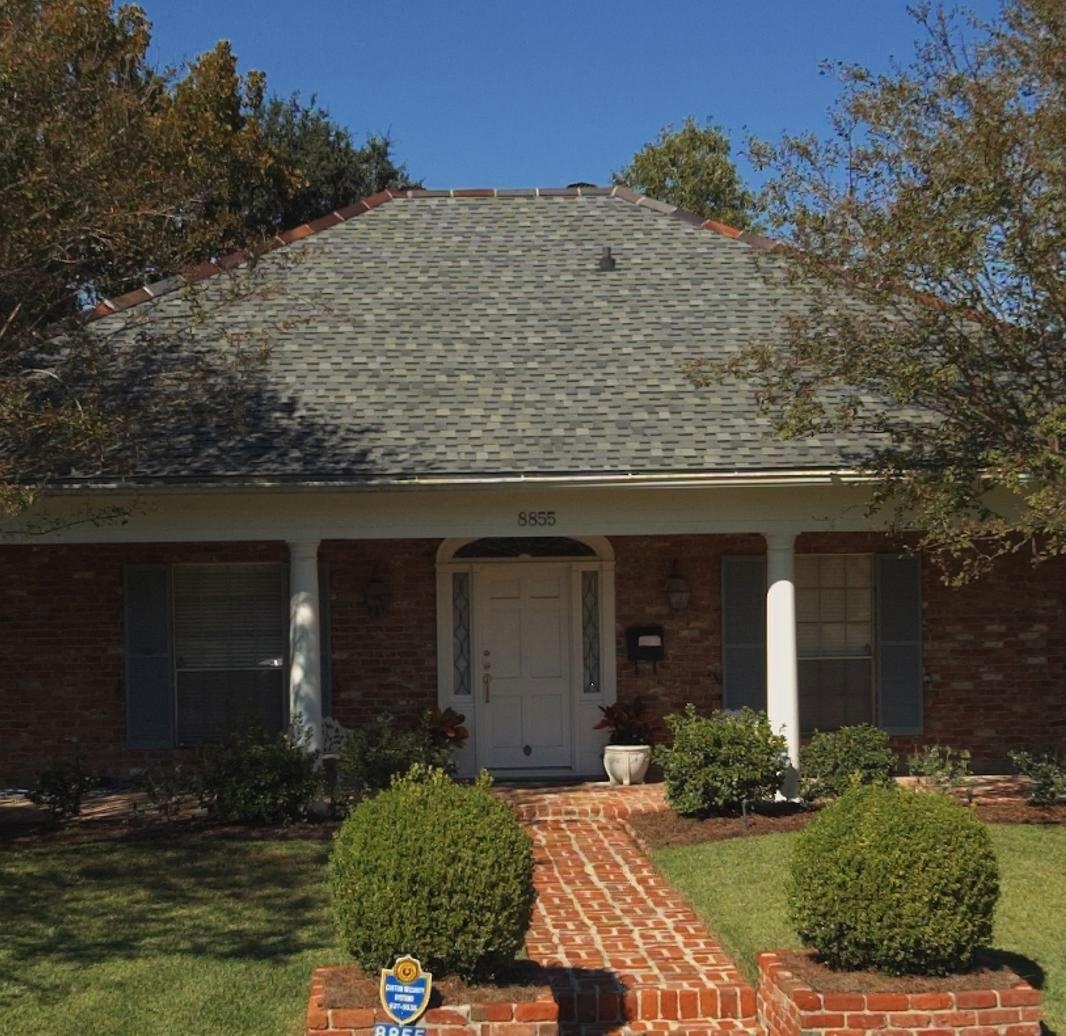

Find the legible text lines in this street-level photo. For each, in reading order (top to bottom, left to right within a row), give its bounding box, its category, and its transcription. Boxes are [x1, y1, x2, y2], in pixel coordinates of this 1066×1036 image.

[516, 510, 558, 529] StreetNumber: 8855